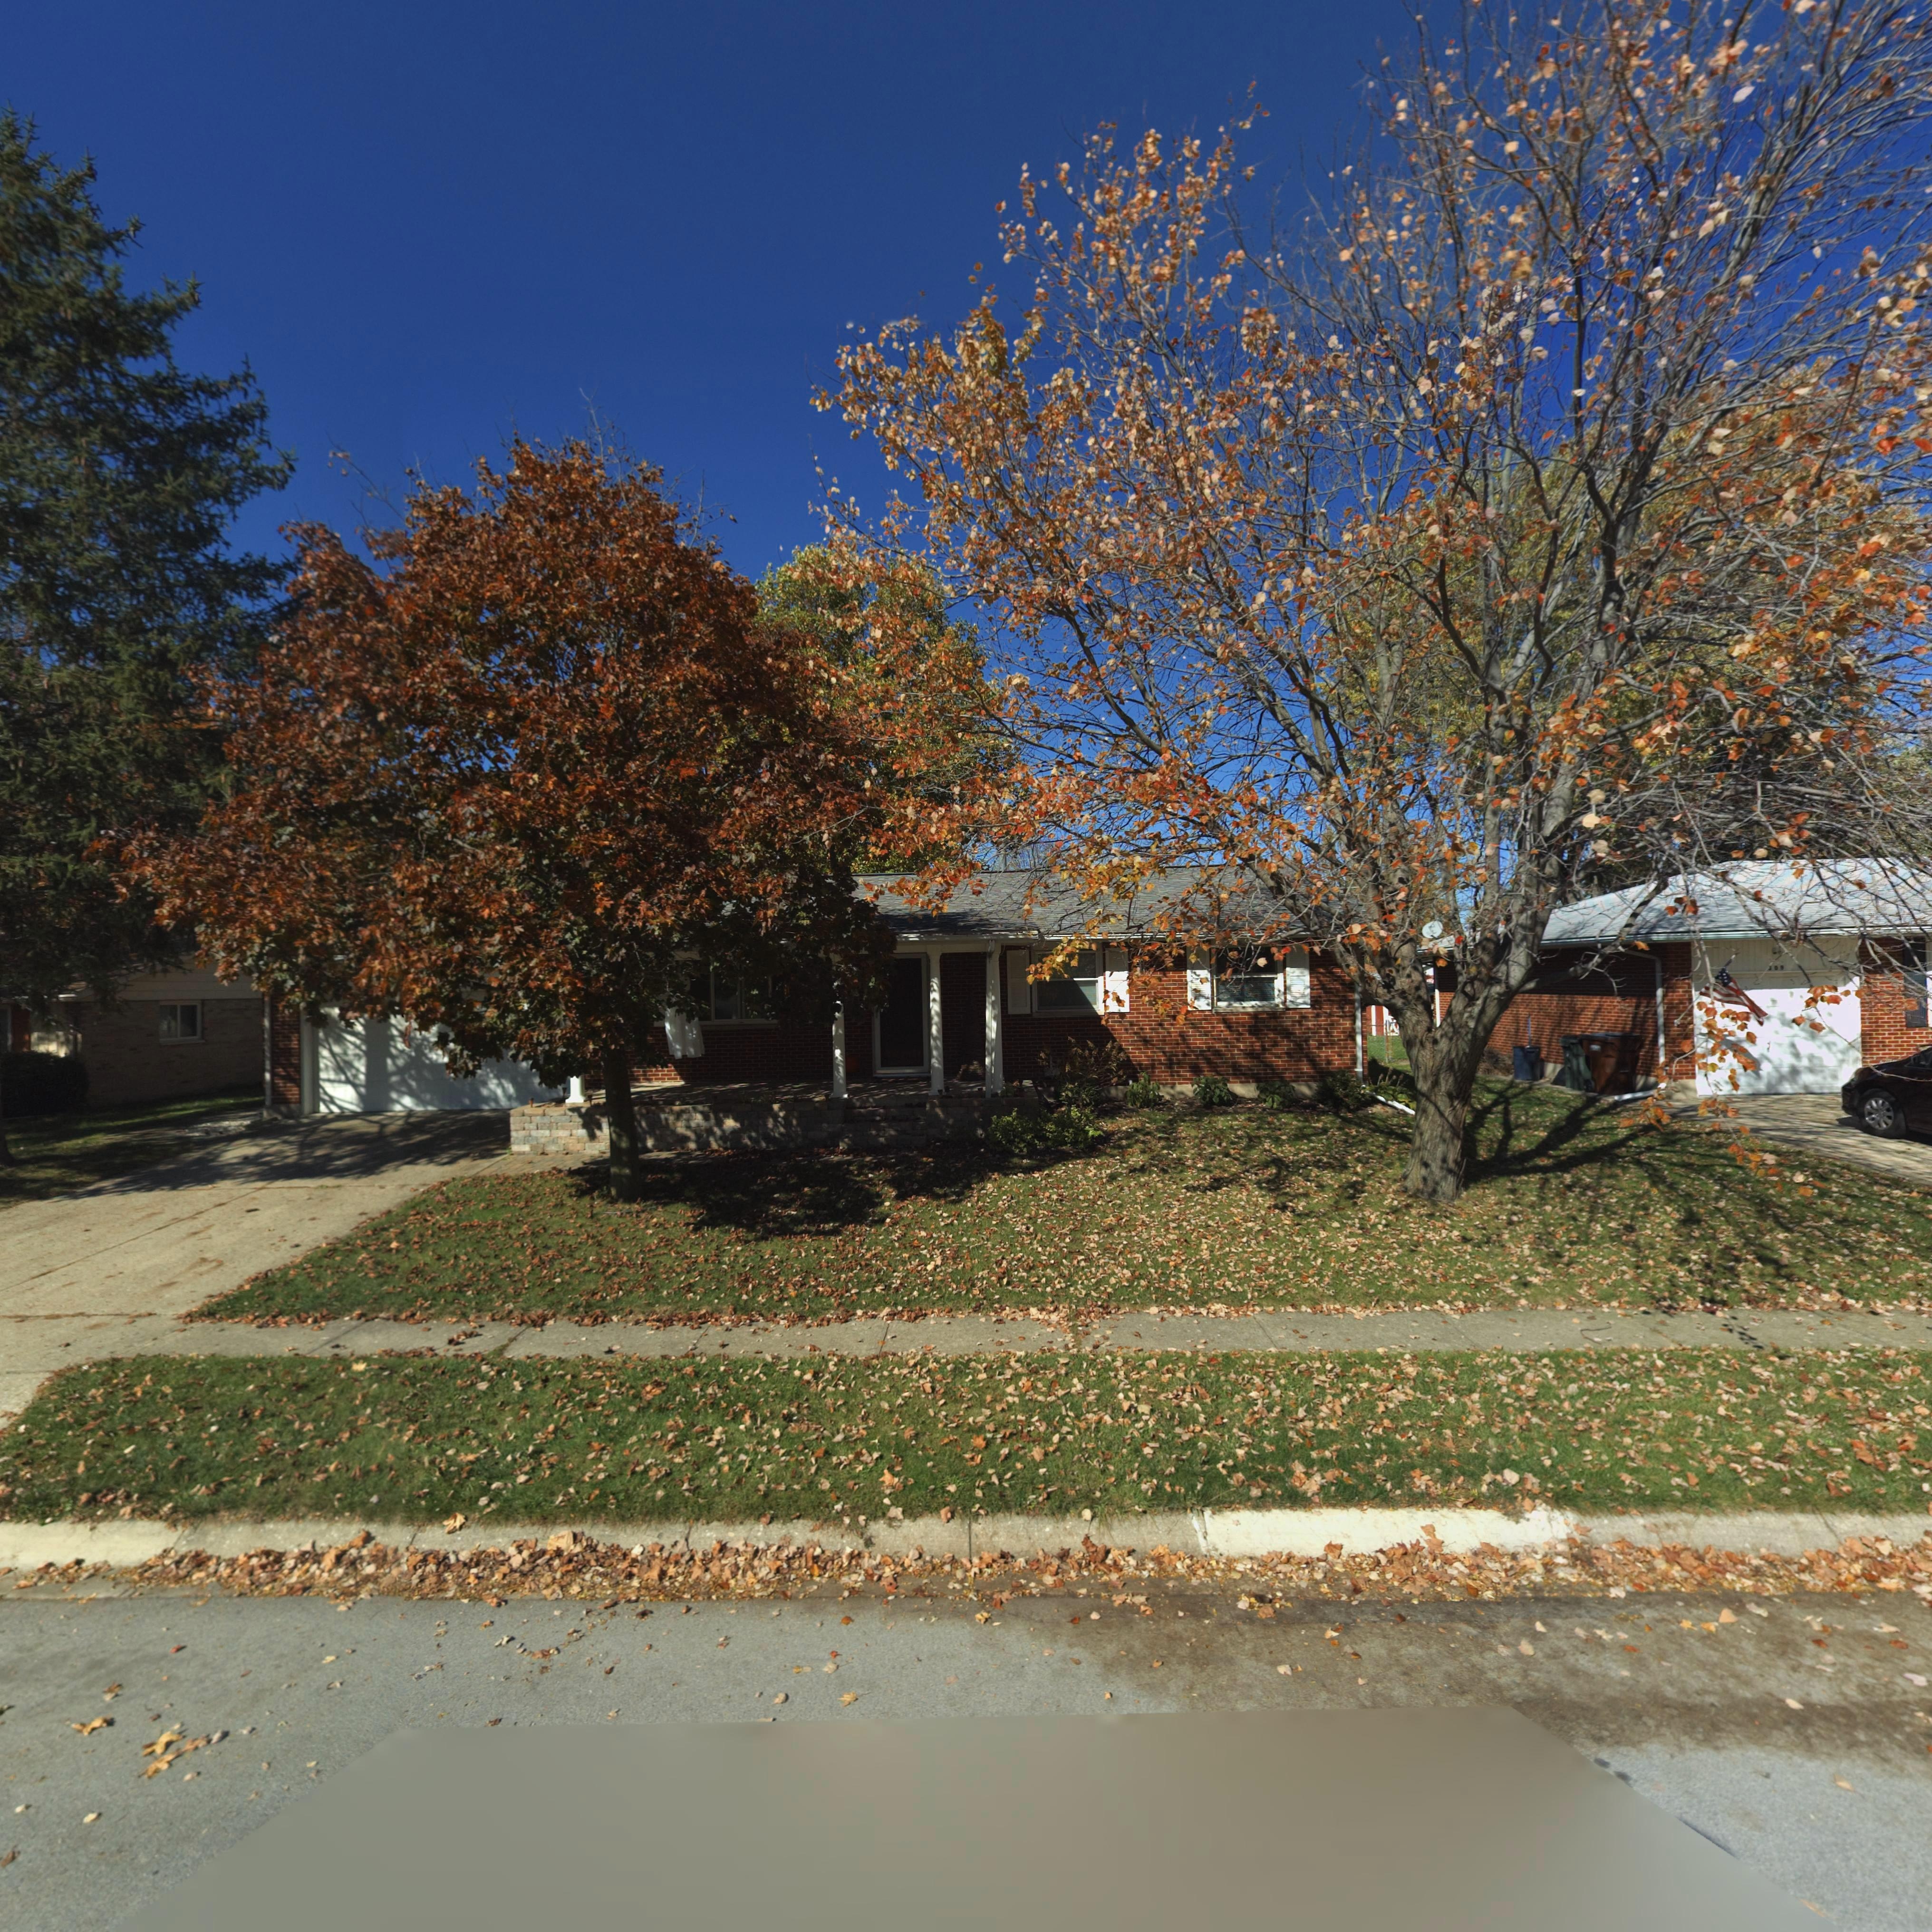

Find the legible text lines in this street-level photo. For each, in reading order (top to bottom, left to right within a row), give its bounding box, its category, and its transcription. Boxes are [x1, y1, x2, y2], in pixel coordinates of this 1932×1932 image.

[1767, 964, 1786, 972] StreetNumber: *0*